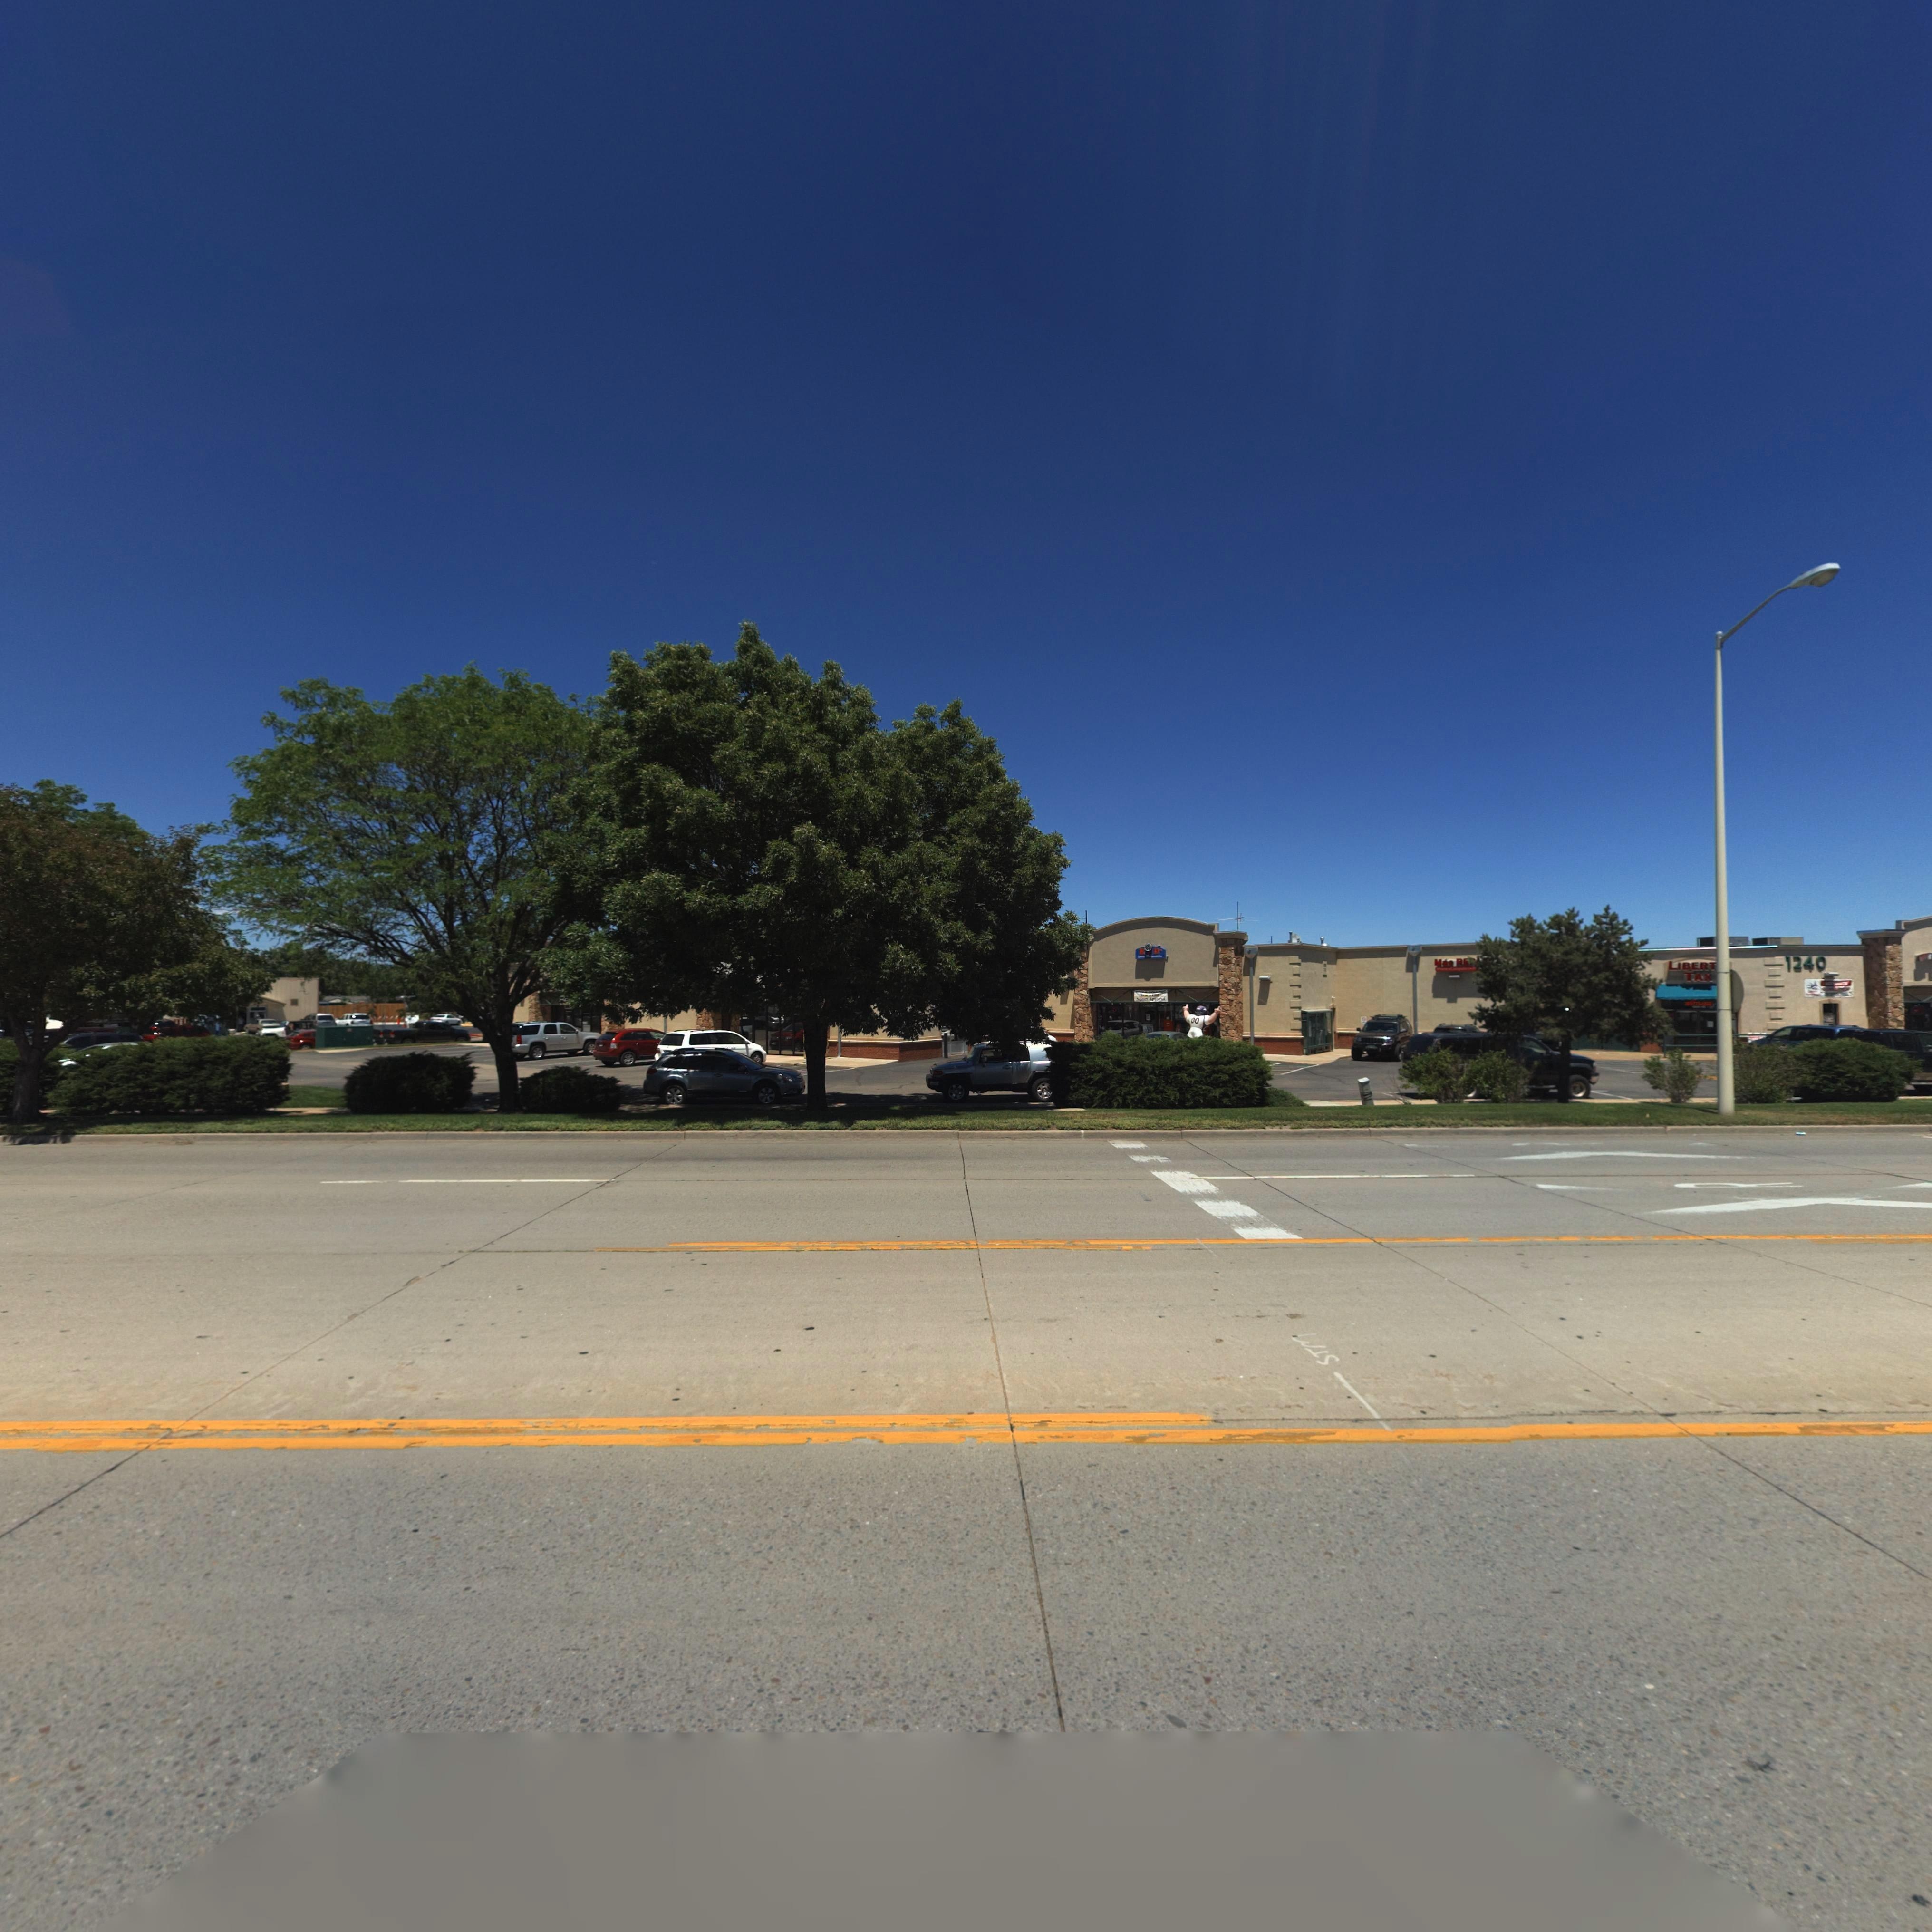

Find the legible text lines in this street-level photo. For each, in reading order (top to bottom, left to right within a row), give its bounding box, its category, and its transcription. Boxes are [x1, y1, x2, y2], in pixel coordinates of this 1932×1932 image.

[1668, 960, 1718, 971] BusinessName: LIBERT
[1784, 954, 1827, 971] StreetNumber: 1240
[1683, 971, 1714, 983] BusinessName: TAX